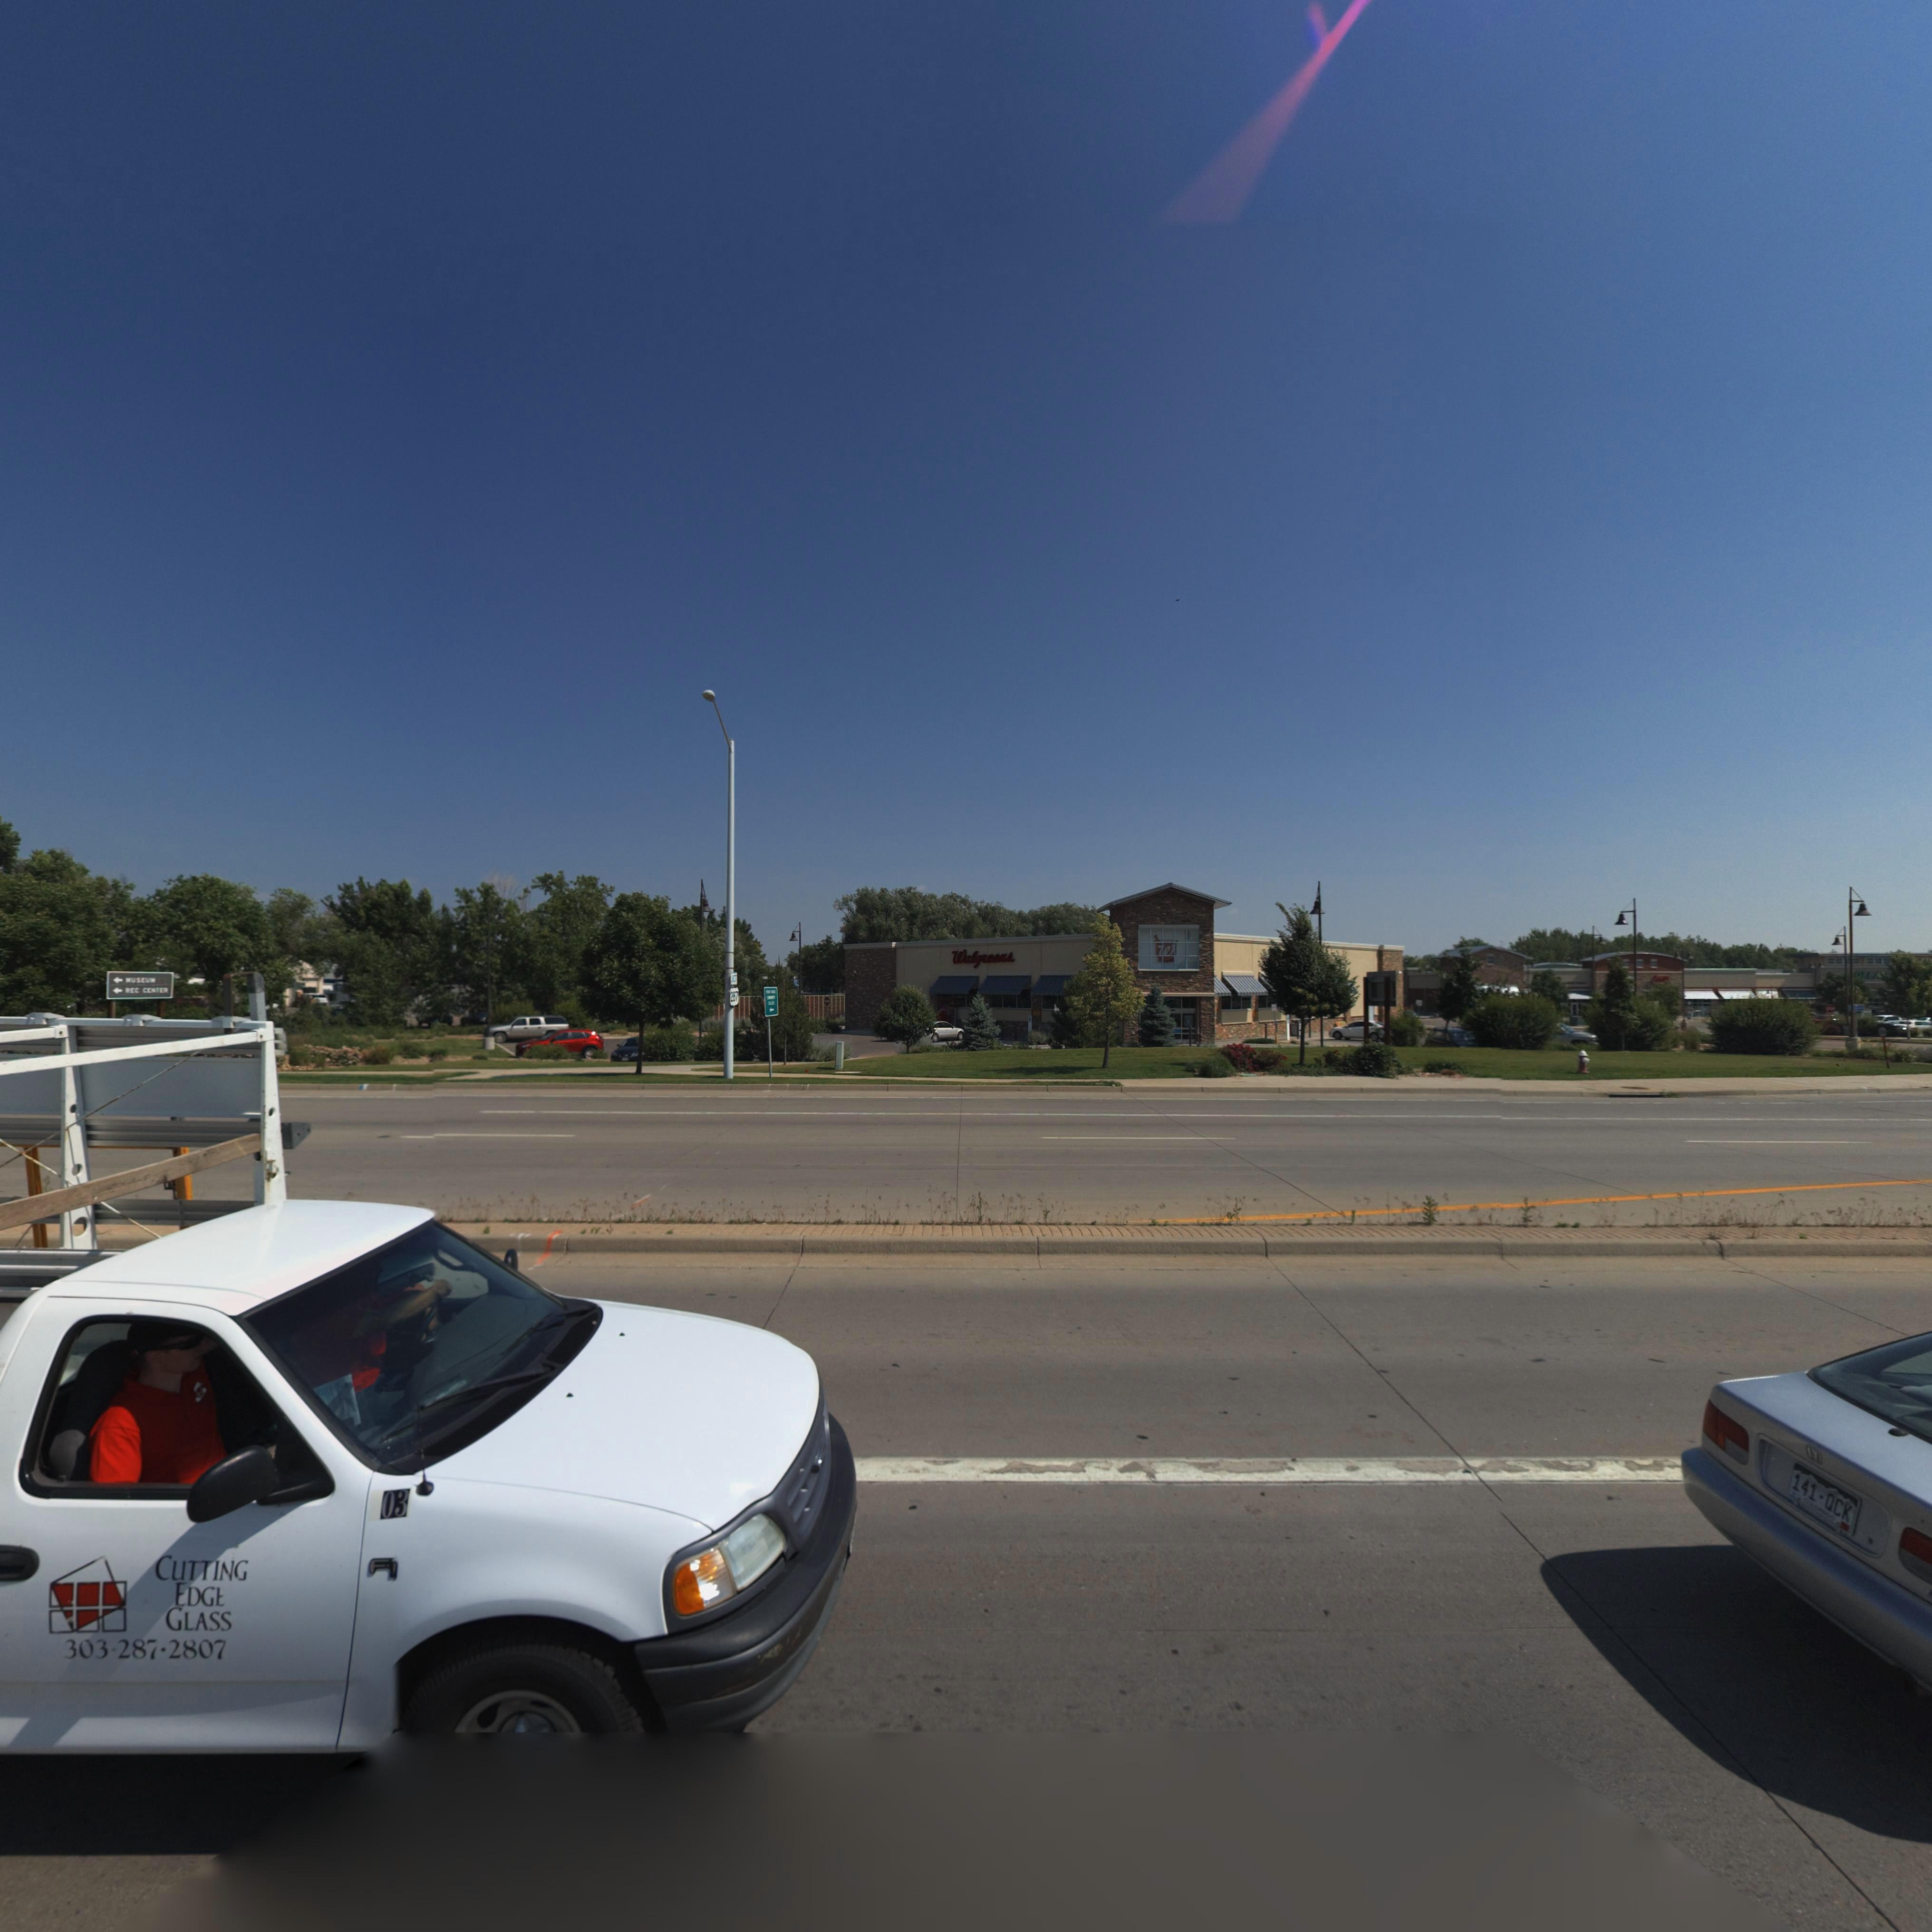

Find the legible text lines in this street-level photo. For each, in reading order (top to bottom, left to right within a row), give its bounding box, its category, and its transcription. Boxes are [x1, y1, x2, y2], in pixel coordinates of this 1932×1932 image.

[1157, 944, 1175, 957] BusinessName: W
[951, 949, 1015, 968] BusinessName: Walgreens
[1854, 970, 1882, 979] BusinessName: OLLA